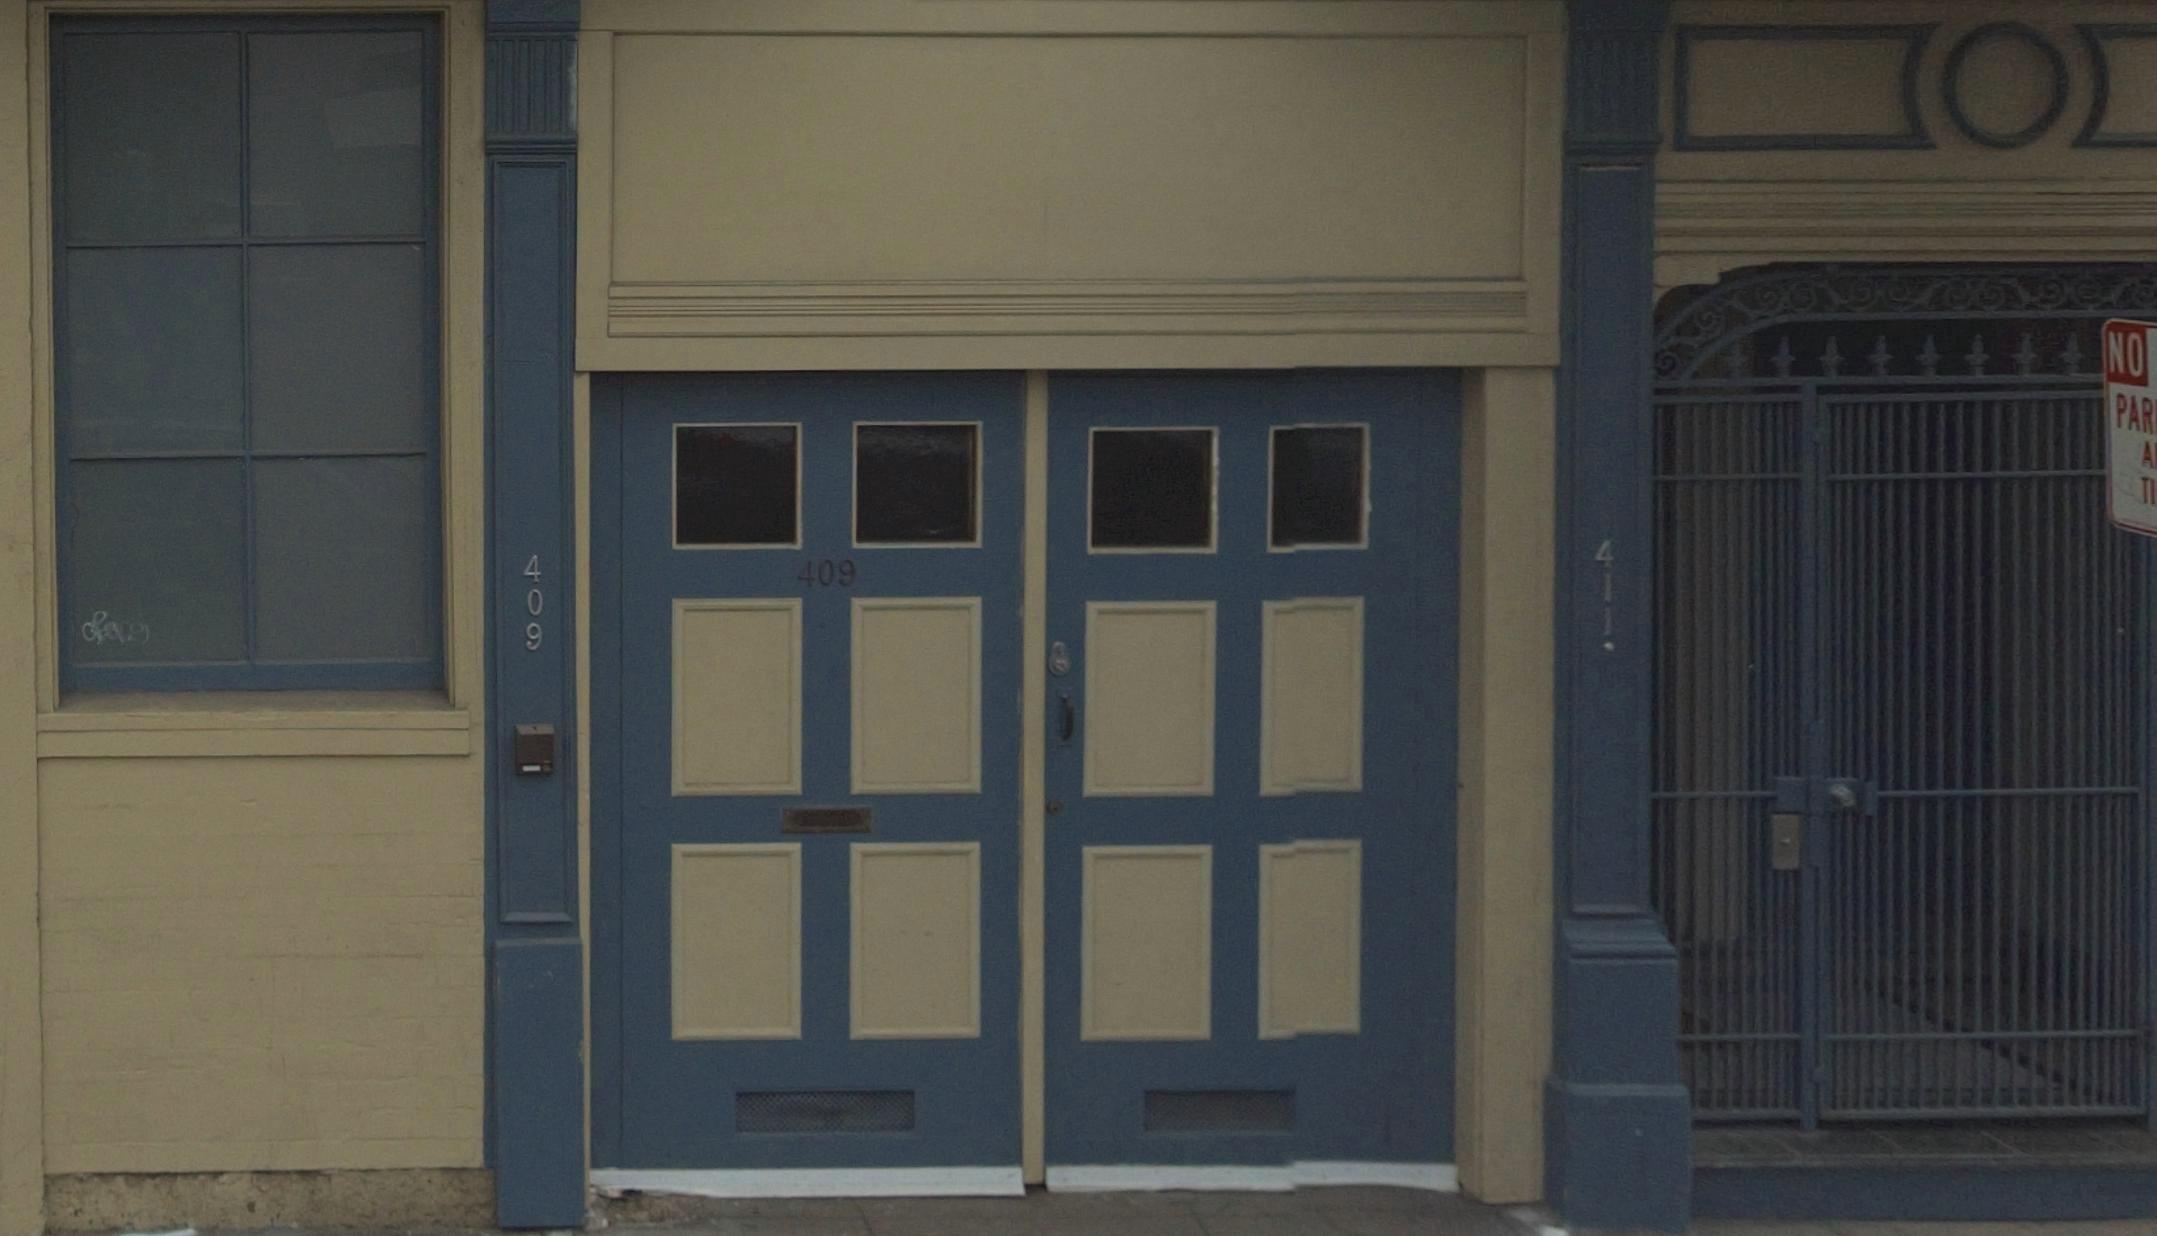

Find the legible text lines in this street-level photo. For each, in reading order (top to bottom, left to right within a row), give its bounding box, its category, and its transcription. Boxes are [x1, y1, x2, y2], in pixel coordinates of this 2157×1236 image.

[2104, 327, 2147, 380] None: NO
[2113, 390, 2155, 438] None: PAR
[2139, 436, 2156, 472] None: A
[2136, 473, 2157, 509] None: TI
[519, 552, 545, 654] StreetNumber: 409
[792, 555, 858, 591] StreetNumber: 409
[1590, 537, 1618, 639] StreetNumber: 411